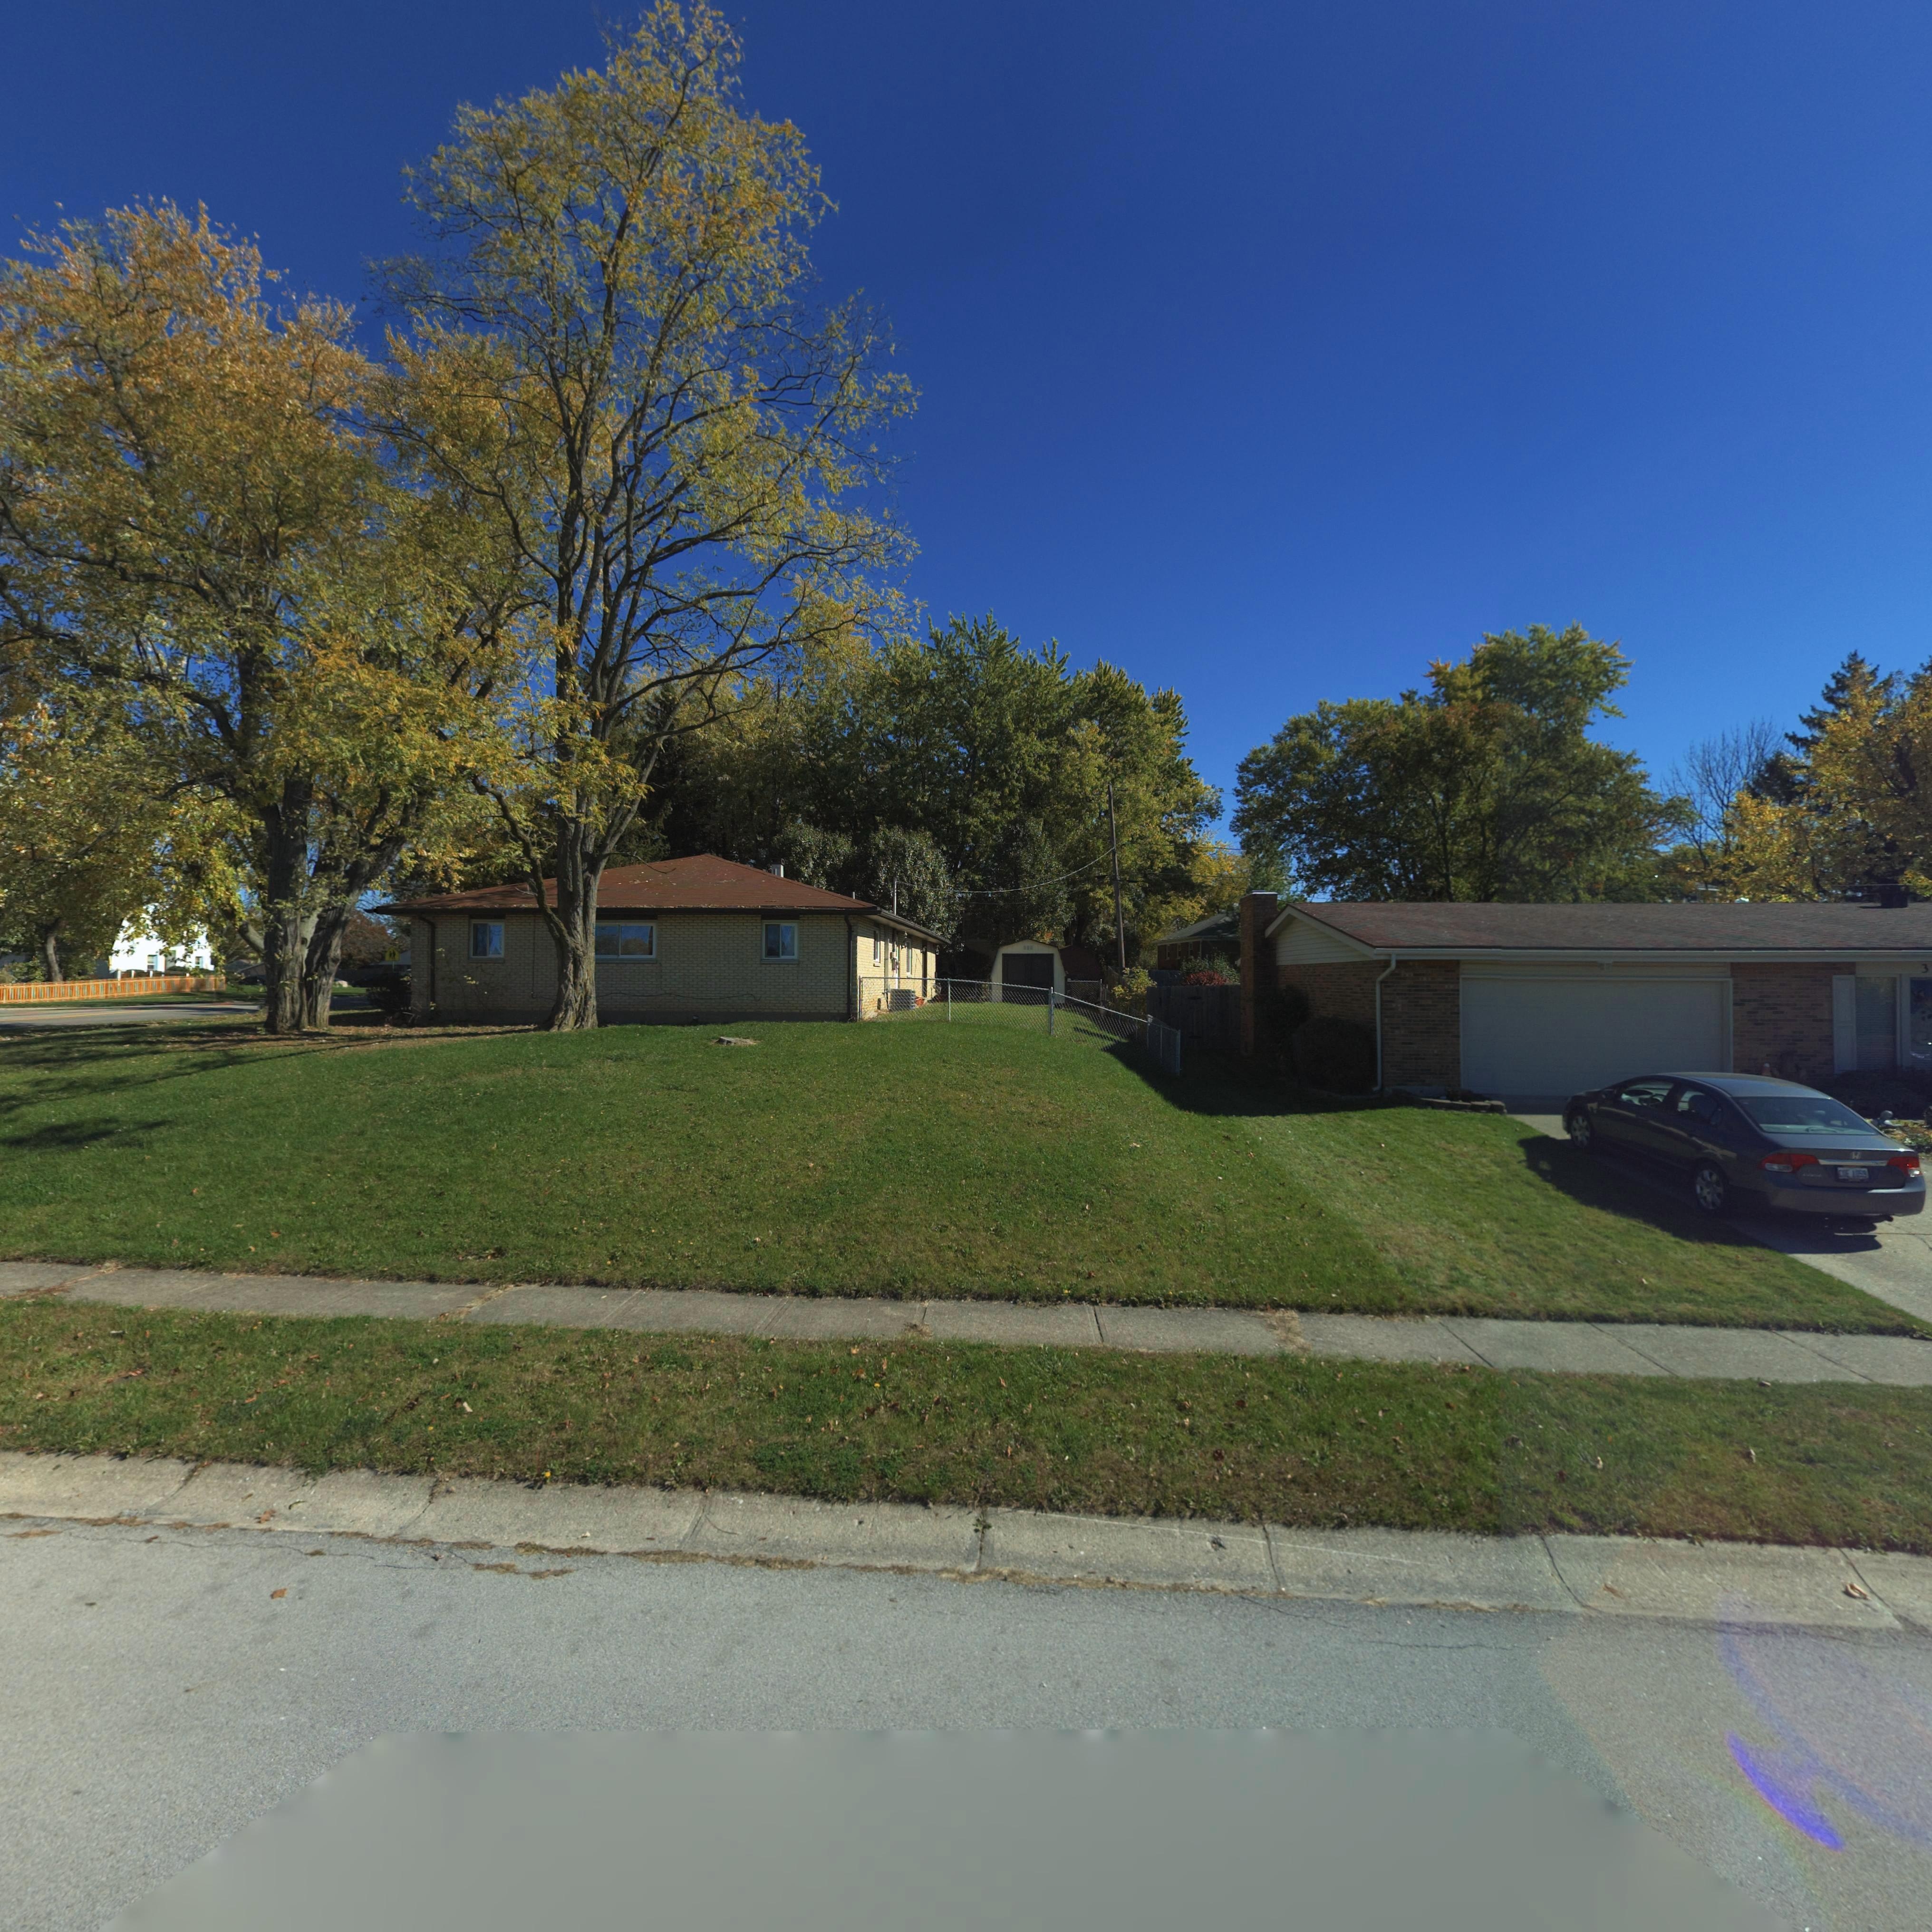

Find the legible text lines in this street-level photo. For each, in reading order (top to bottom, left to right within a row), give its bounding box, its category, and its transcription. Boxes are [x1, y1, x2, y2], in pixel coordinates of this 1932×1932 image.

[1921, 964, 1929, 974] StreetNumber: 3